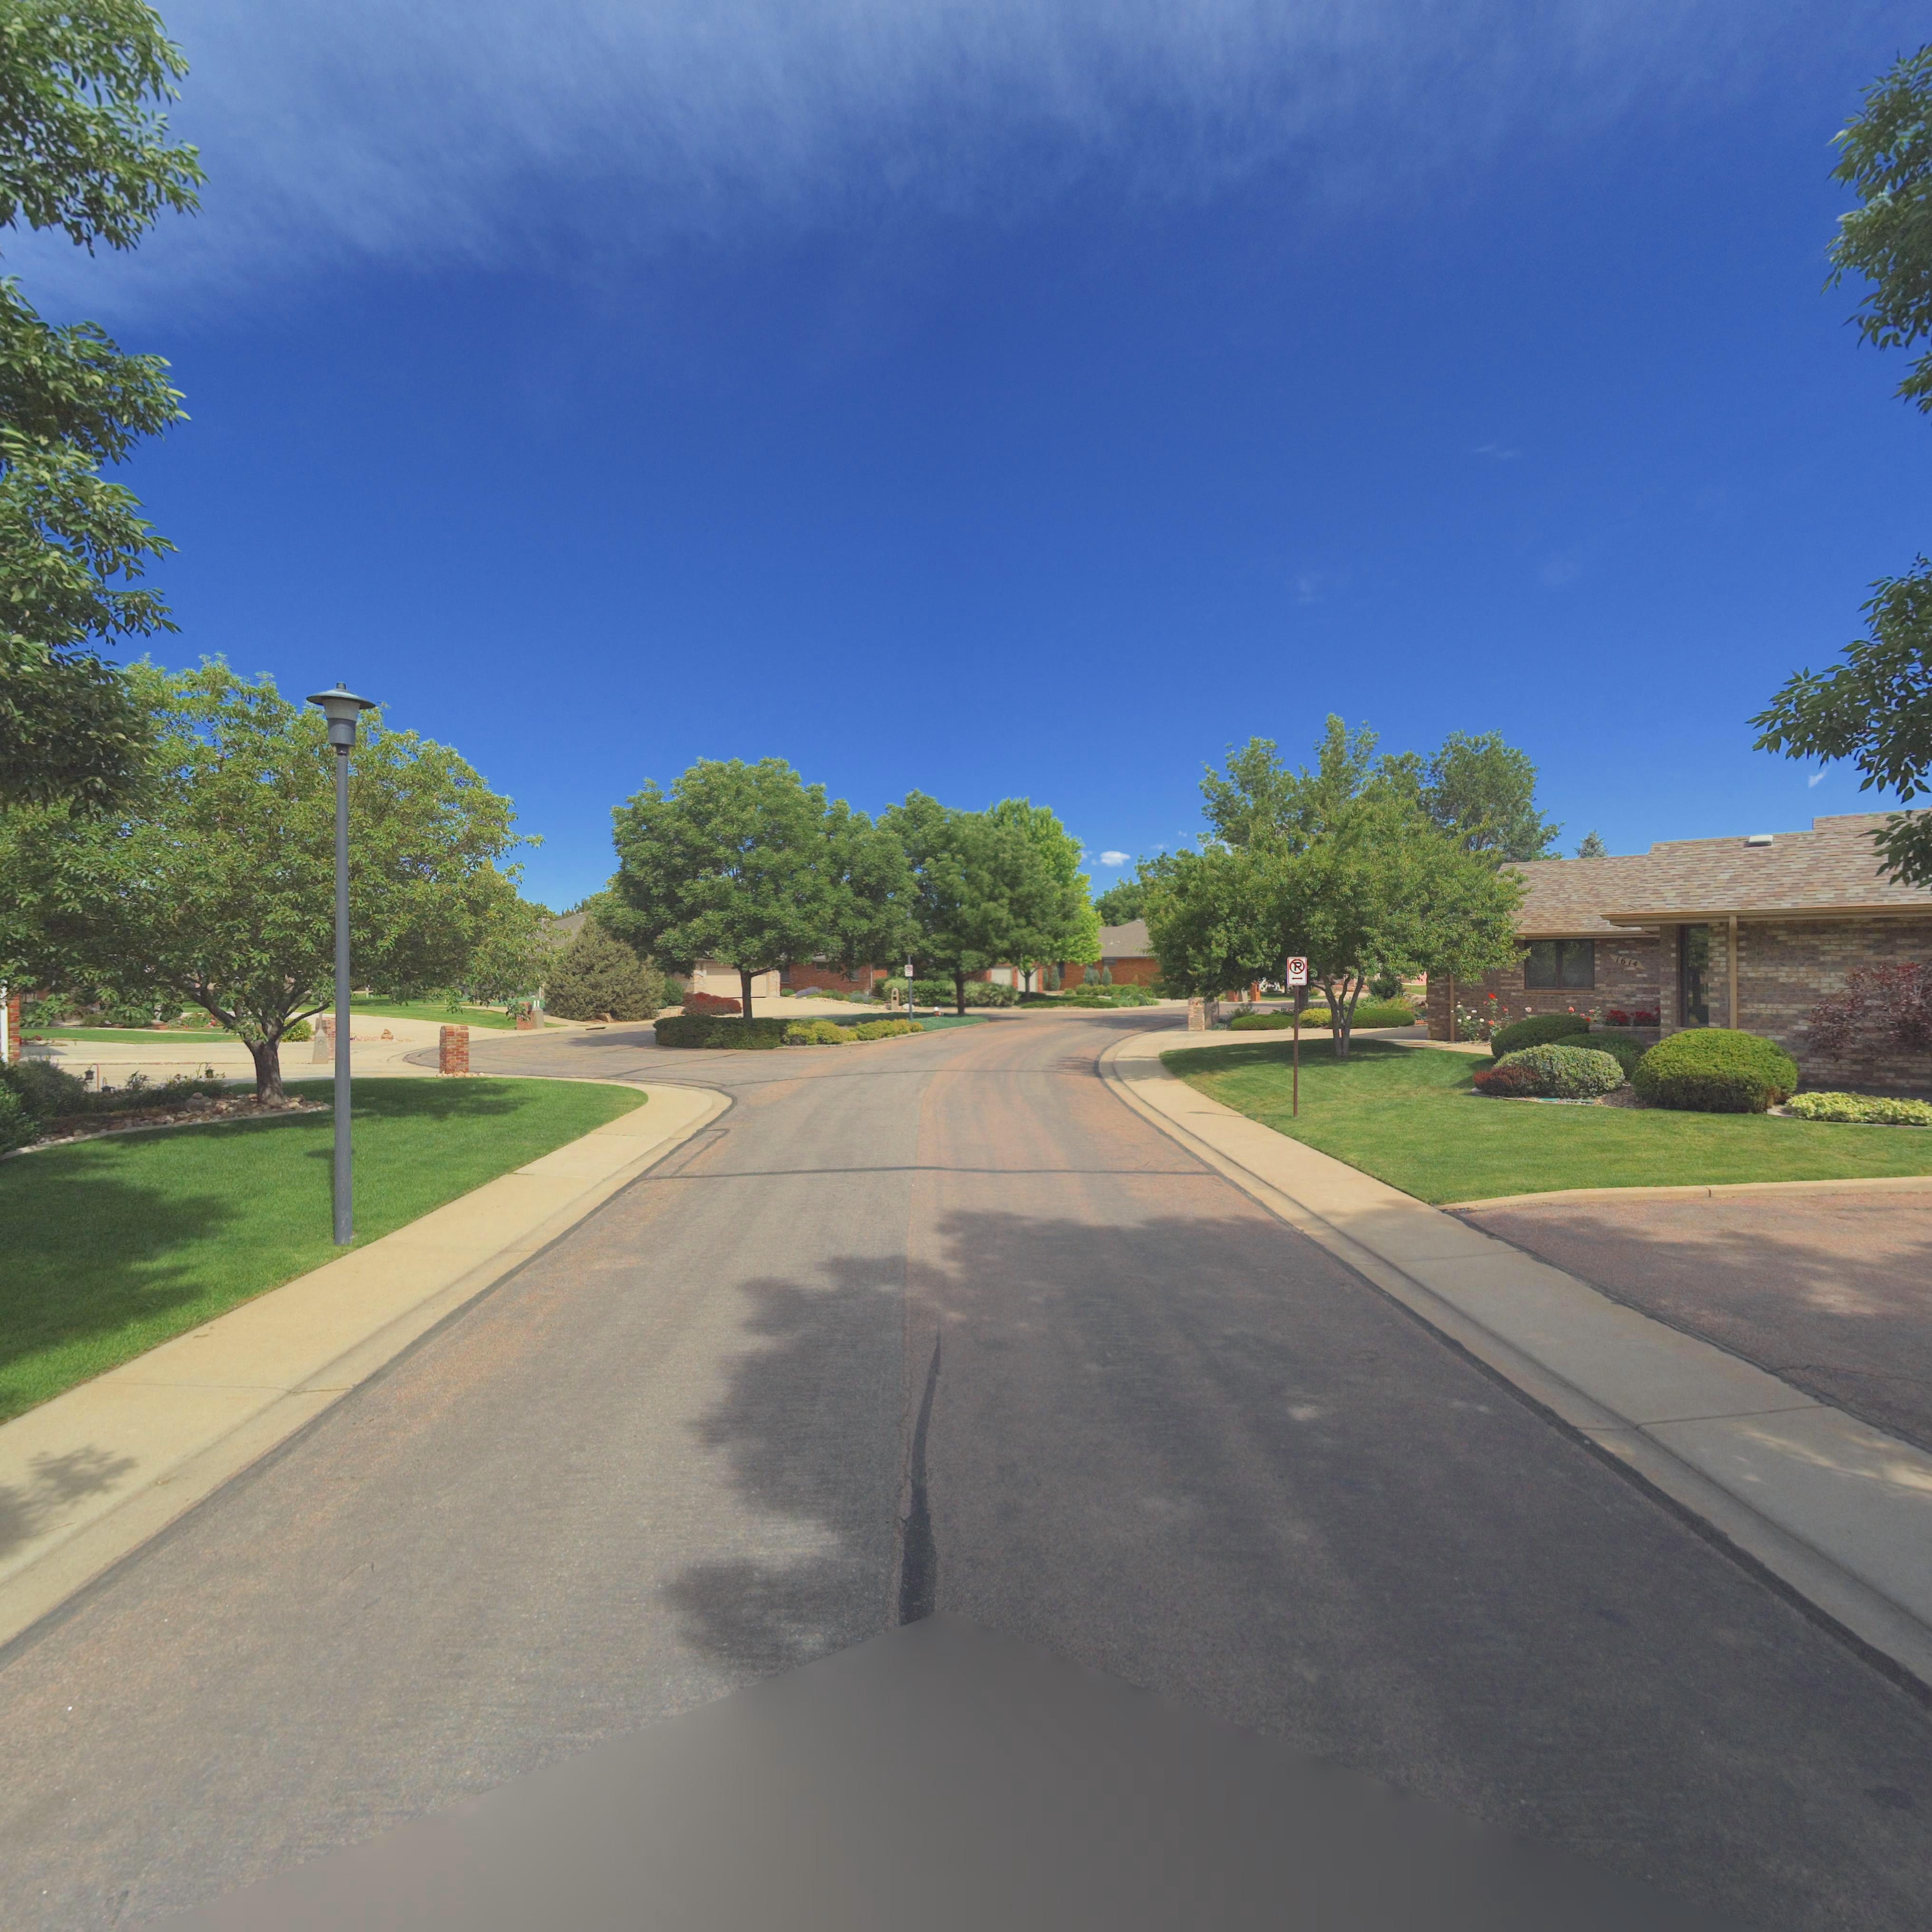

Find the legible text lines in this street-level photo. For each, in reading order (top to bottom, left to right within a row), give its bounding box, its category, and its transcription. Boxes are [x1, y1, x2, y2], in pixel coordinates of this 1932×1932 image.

[1615, 956, 1638, 967] StreetNumber: 1614